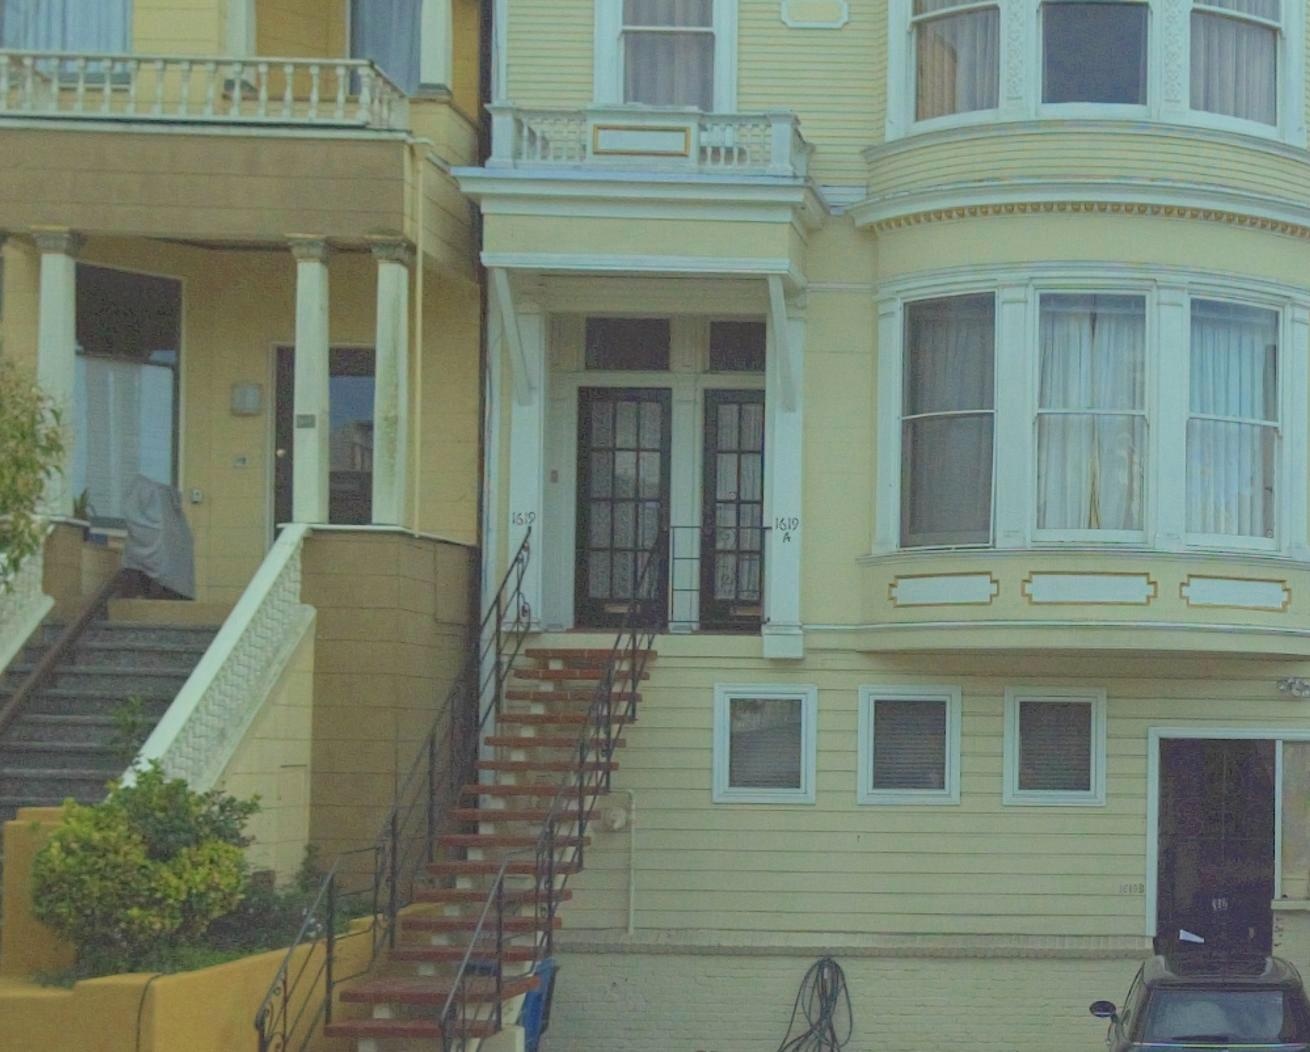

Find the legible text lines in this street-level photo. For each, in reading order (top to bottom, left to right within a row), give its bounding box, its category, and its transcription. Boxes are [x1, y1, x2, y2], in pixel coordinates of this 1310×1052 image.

[509, 509, 539, 528] StreetNumber: 1619
[773, 515, 803, 532] StreetNumber: 1619A
[780, 529, 794, 546] StreetNumber: A
[1116, 880, 1147, 897] StreetNumber: 1619 B